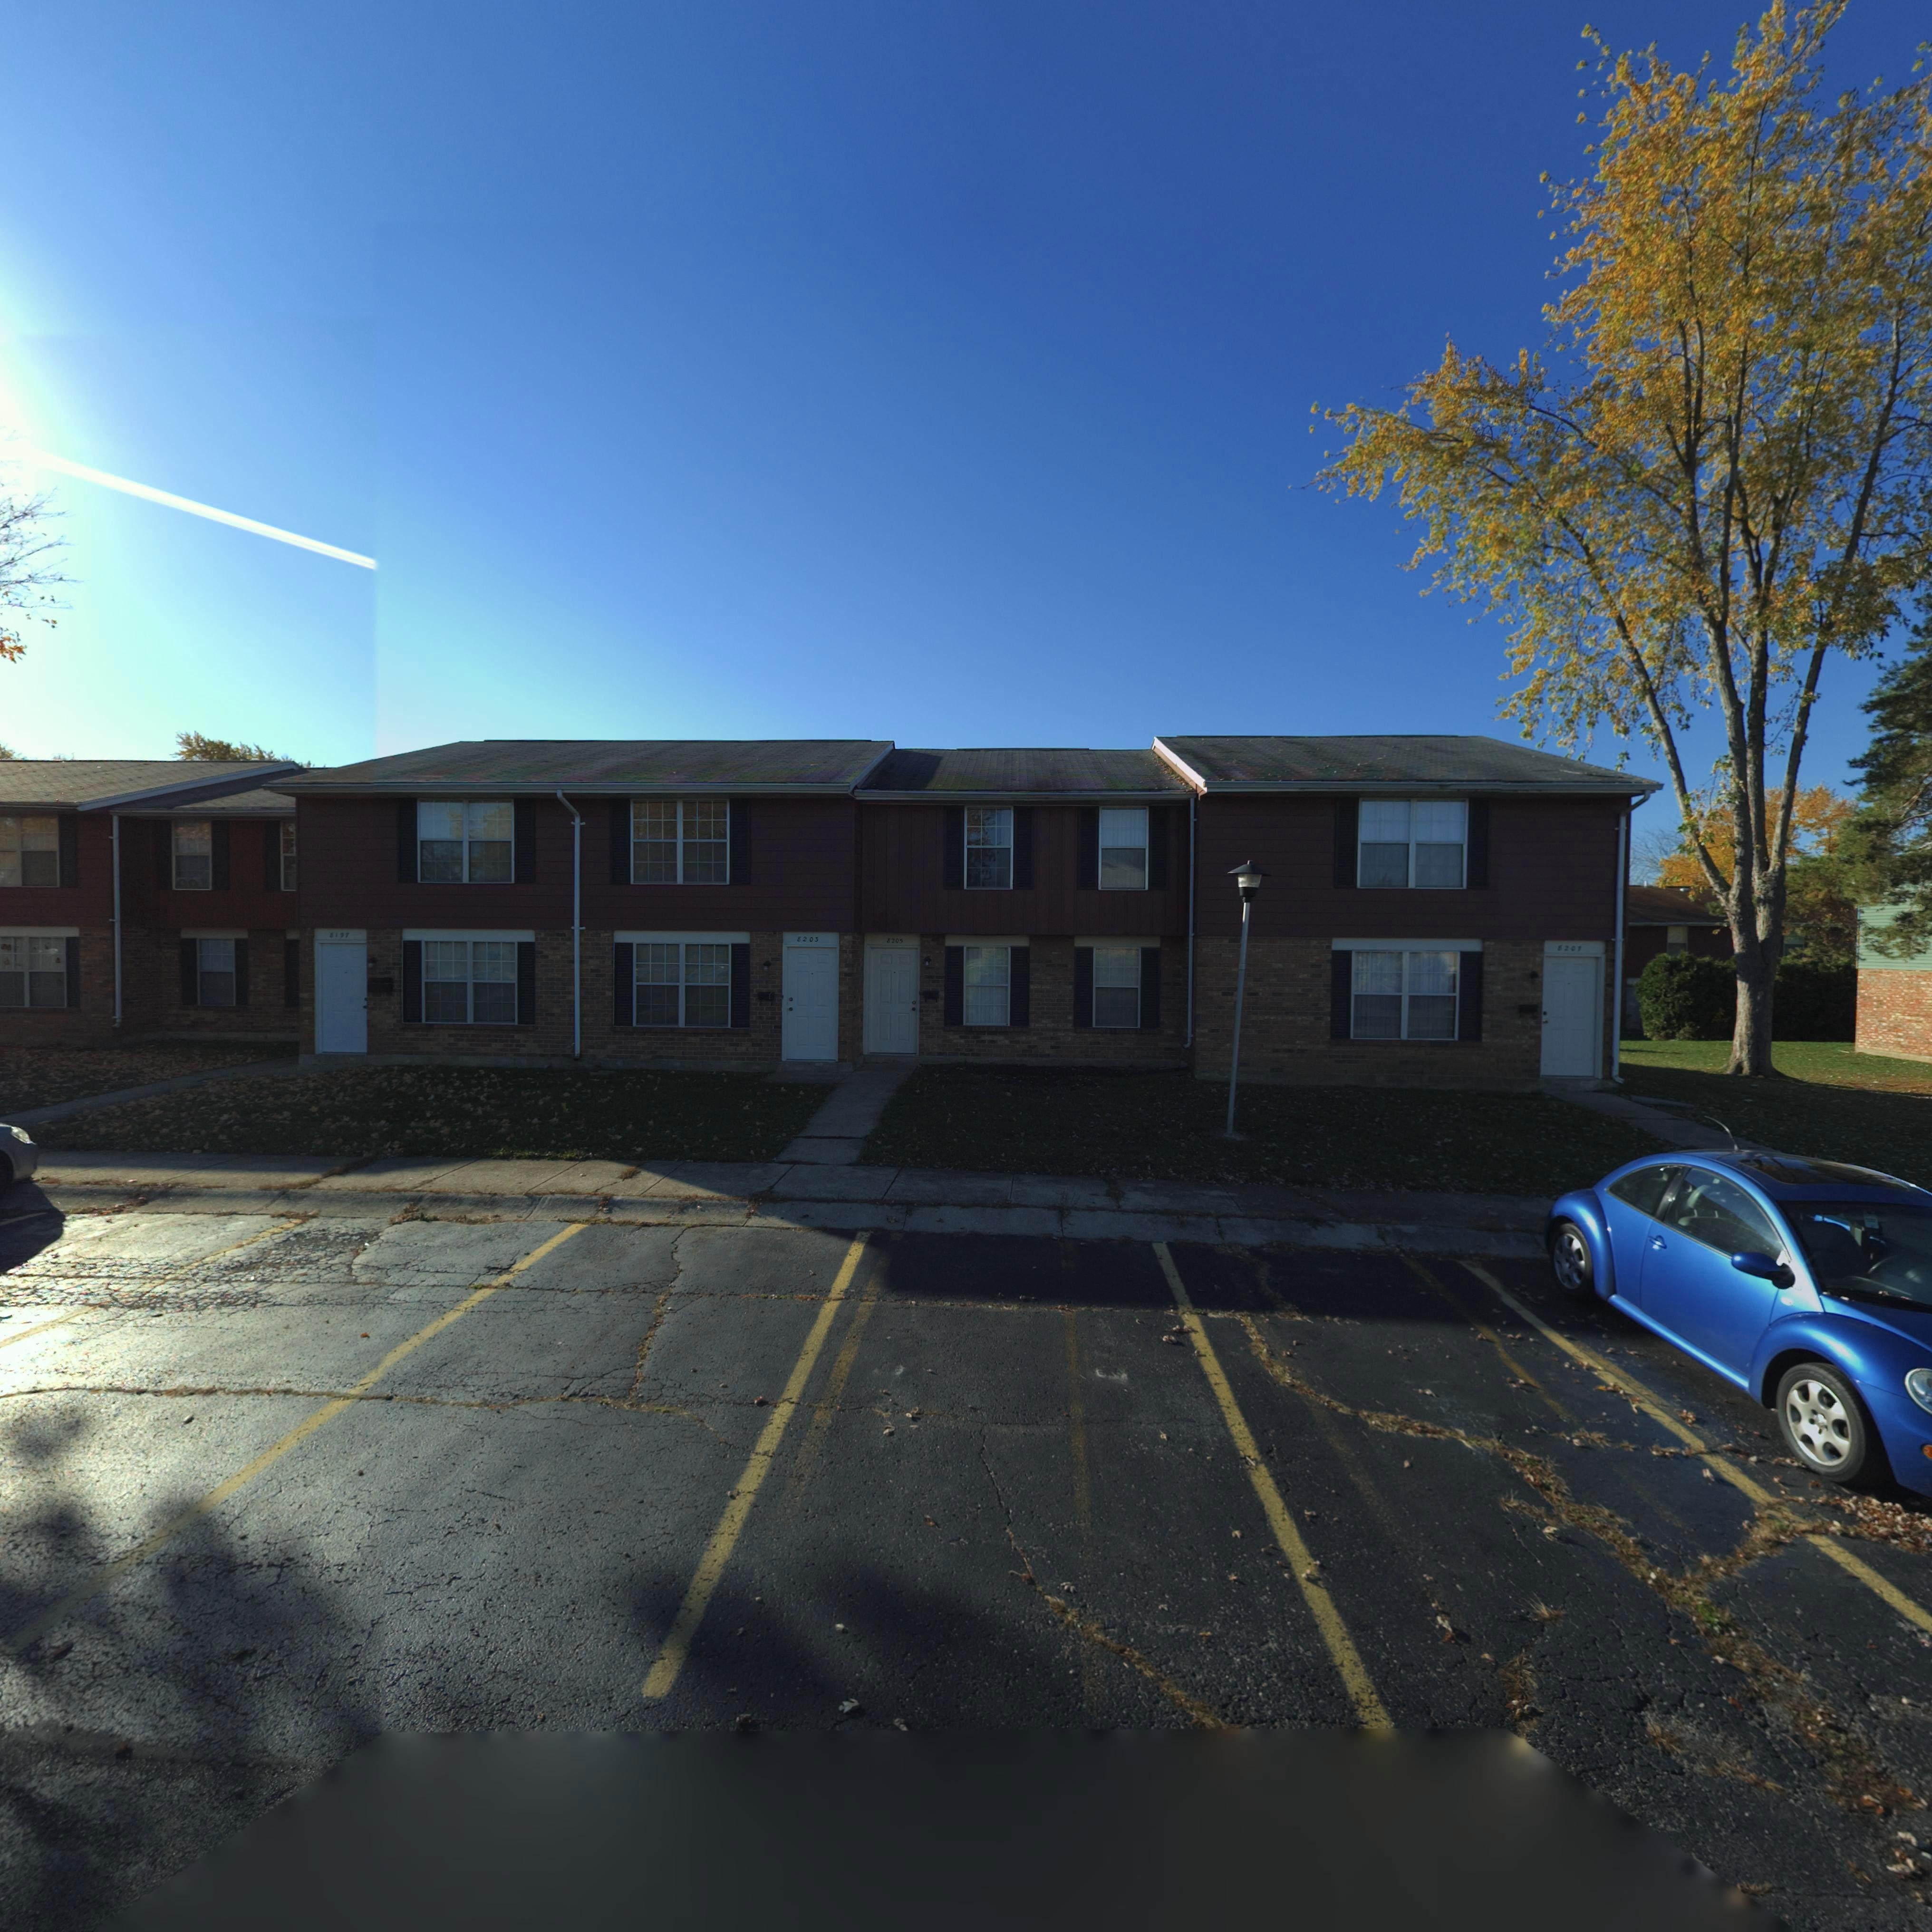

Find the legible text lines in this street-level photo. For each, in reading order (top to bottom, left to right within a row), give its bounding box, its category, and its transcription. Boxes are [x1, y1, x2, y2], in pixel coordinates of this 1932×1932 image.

[329, 932, 349, 938] StreetNumber: 8197
[796, 936, 819, 942] StreetNumber: 8205
[886, 937, 903, 944] StreetNumber: 8205
[1556, 944, 1582, 952] StreetNumber: 8207